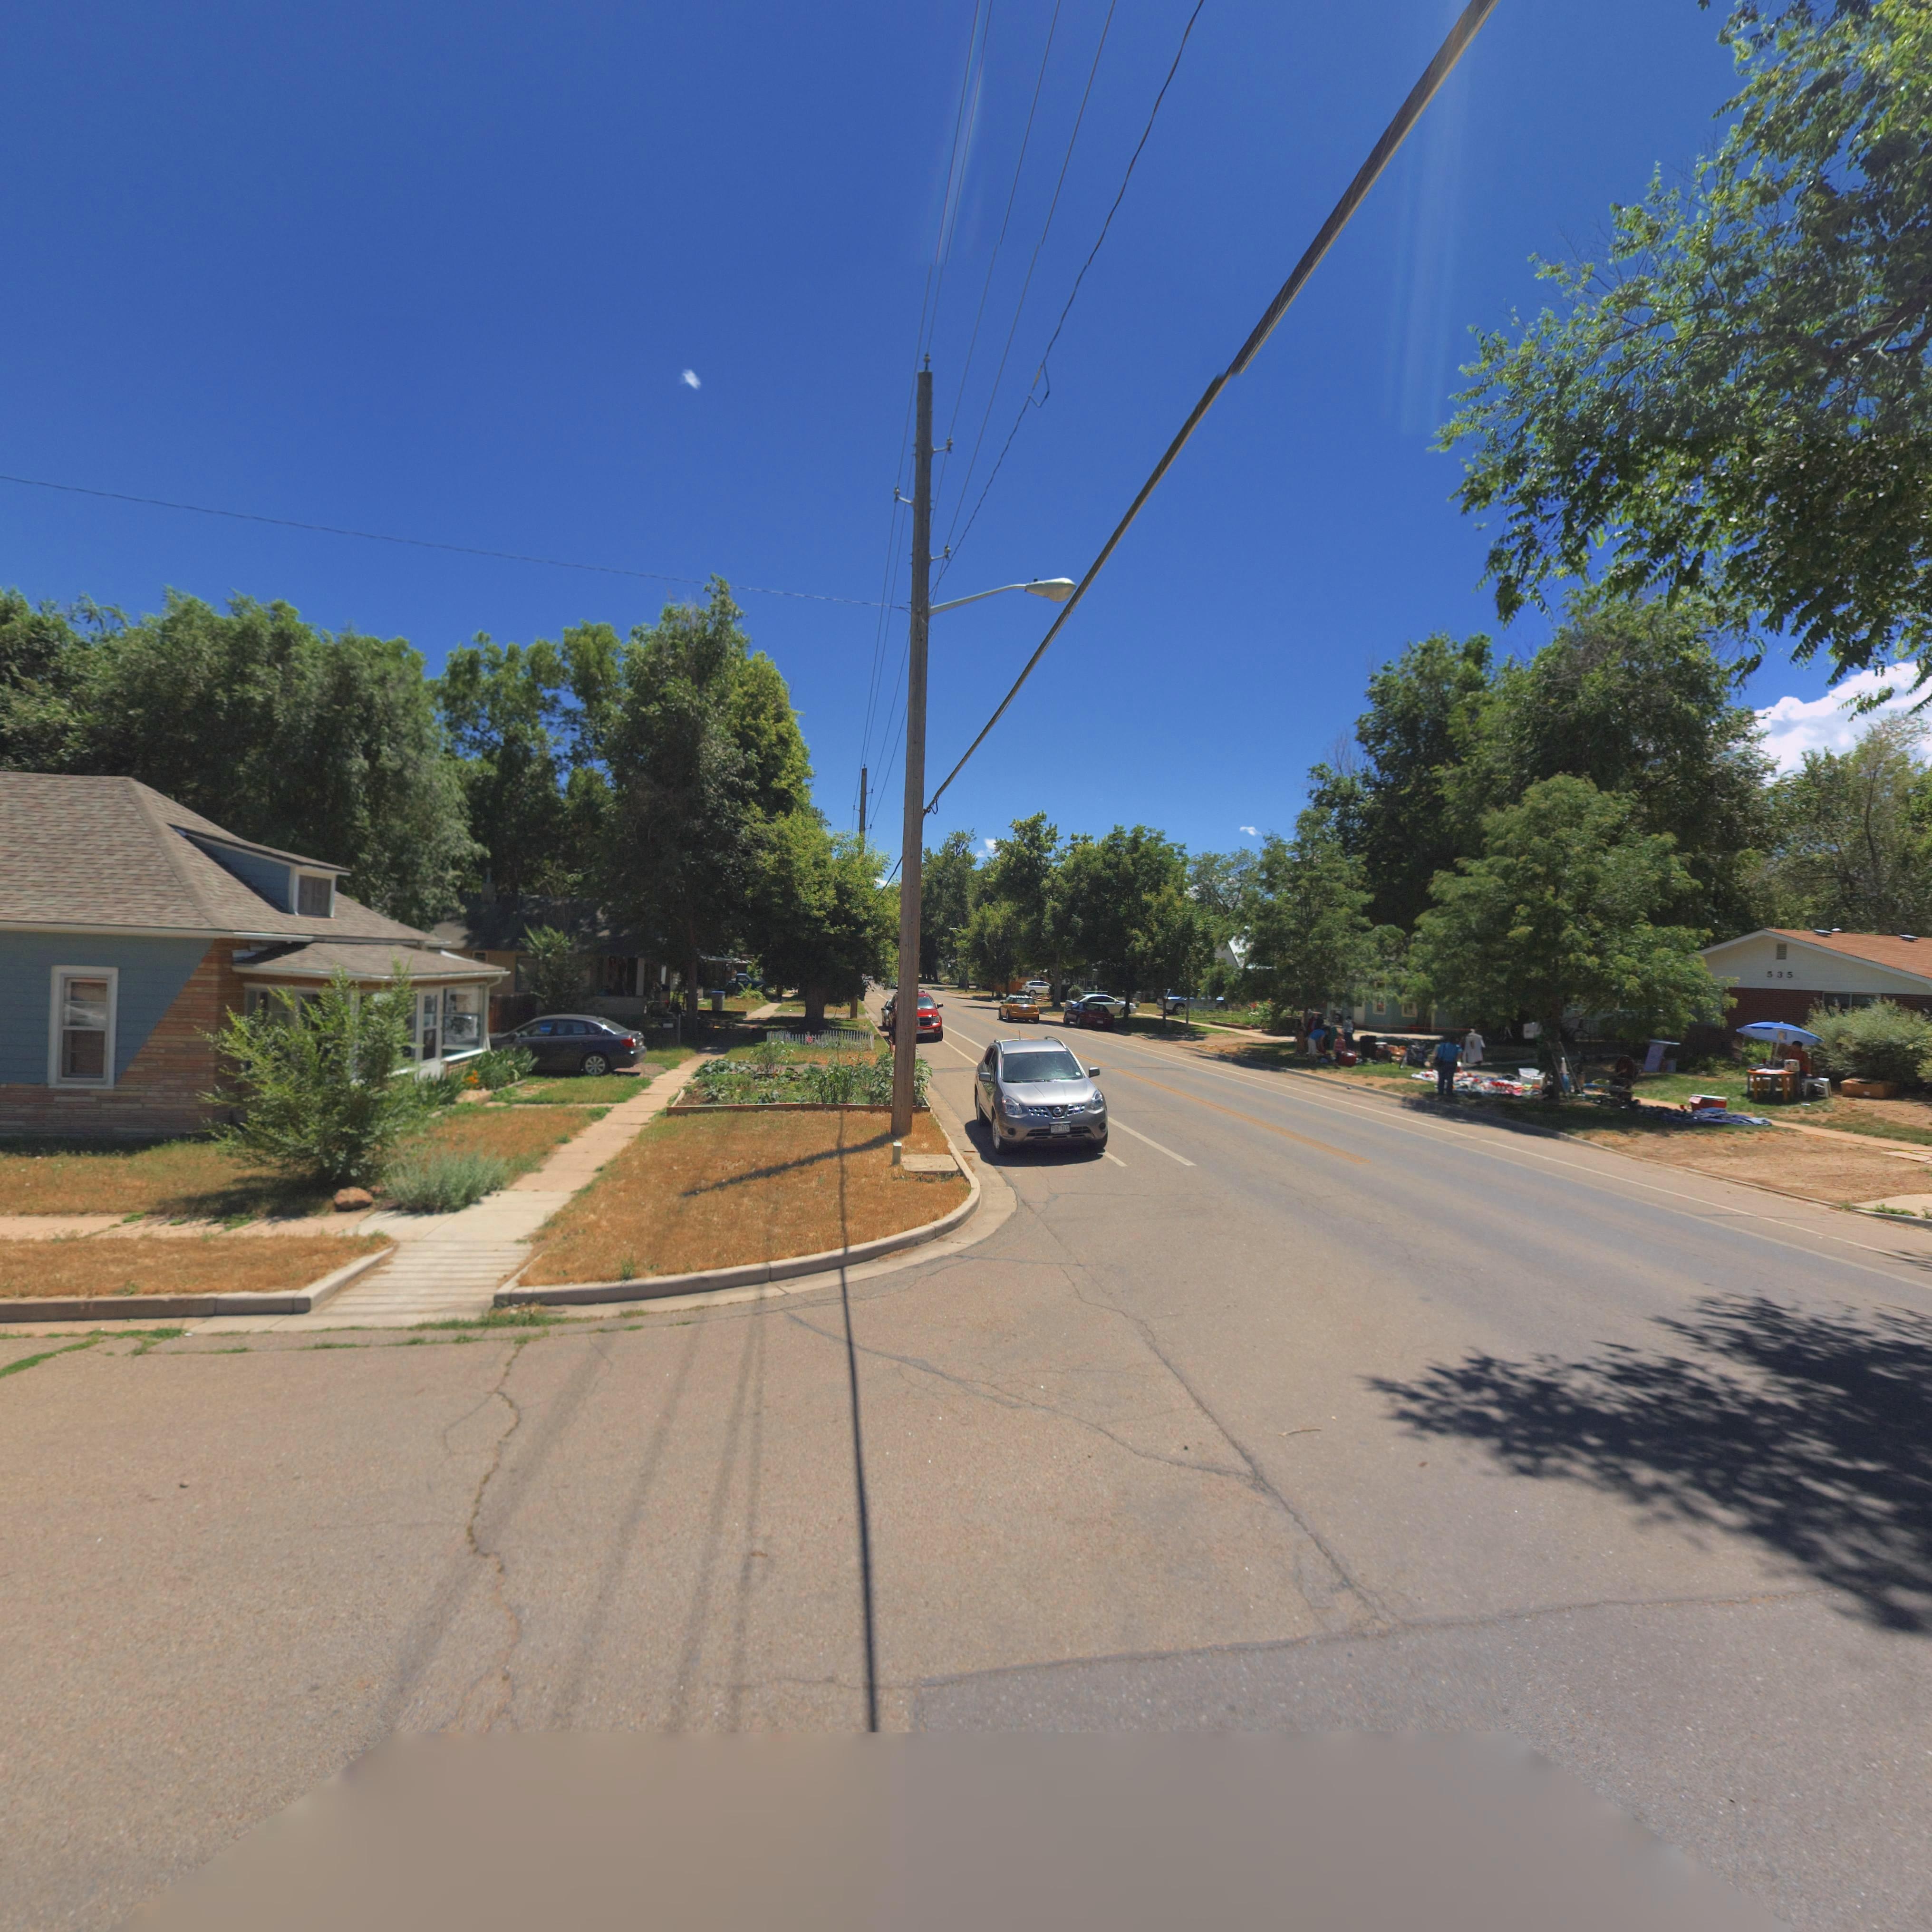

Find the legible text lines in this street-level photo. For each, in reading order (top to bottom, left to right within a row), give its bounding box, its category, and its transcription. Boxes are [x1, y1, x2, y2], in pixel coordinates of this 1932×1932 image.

[1766, 971, 1793, 978] StreetNumber: 535